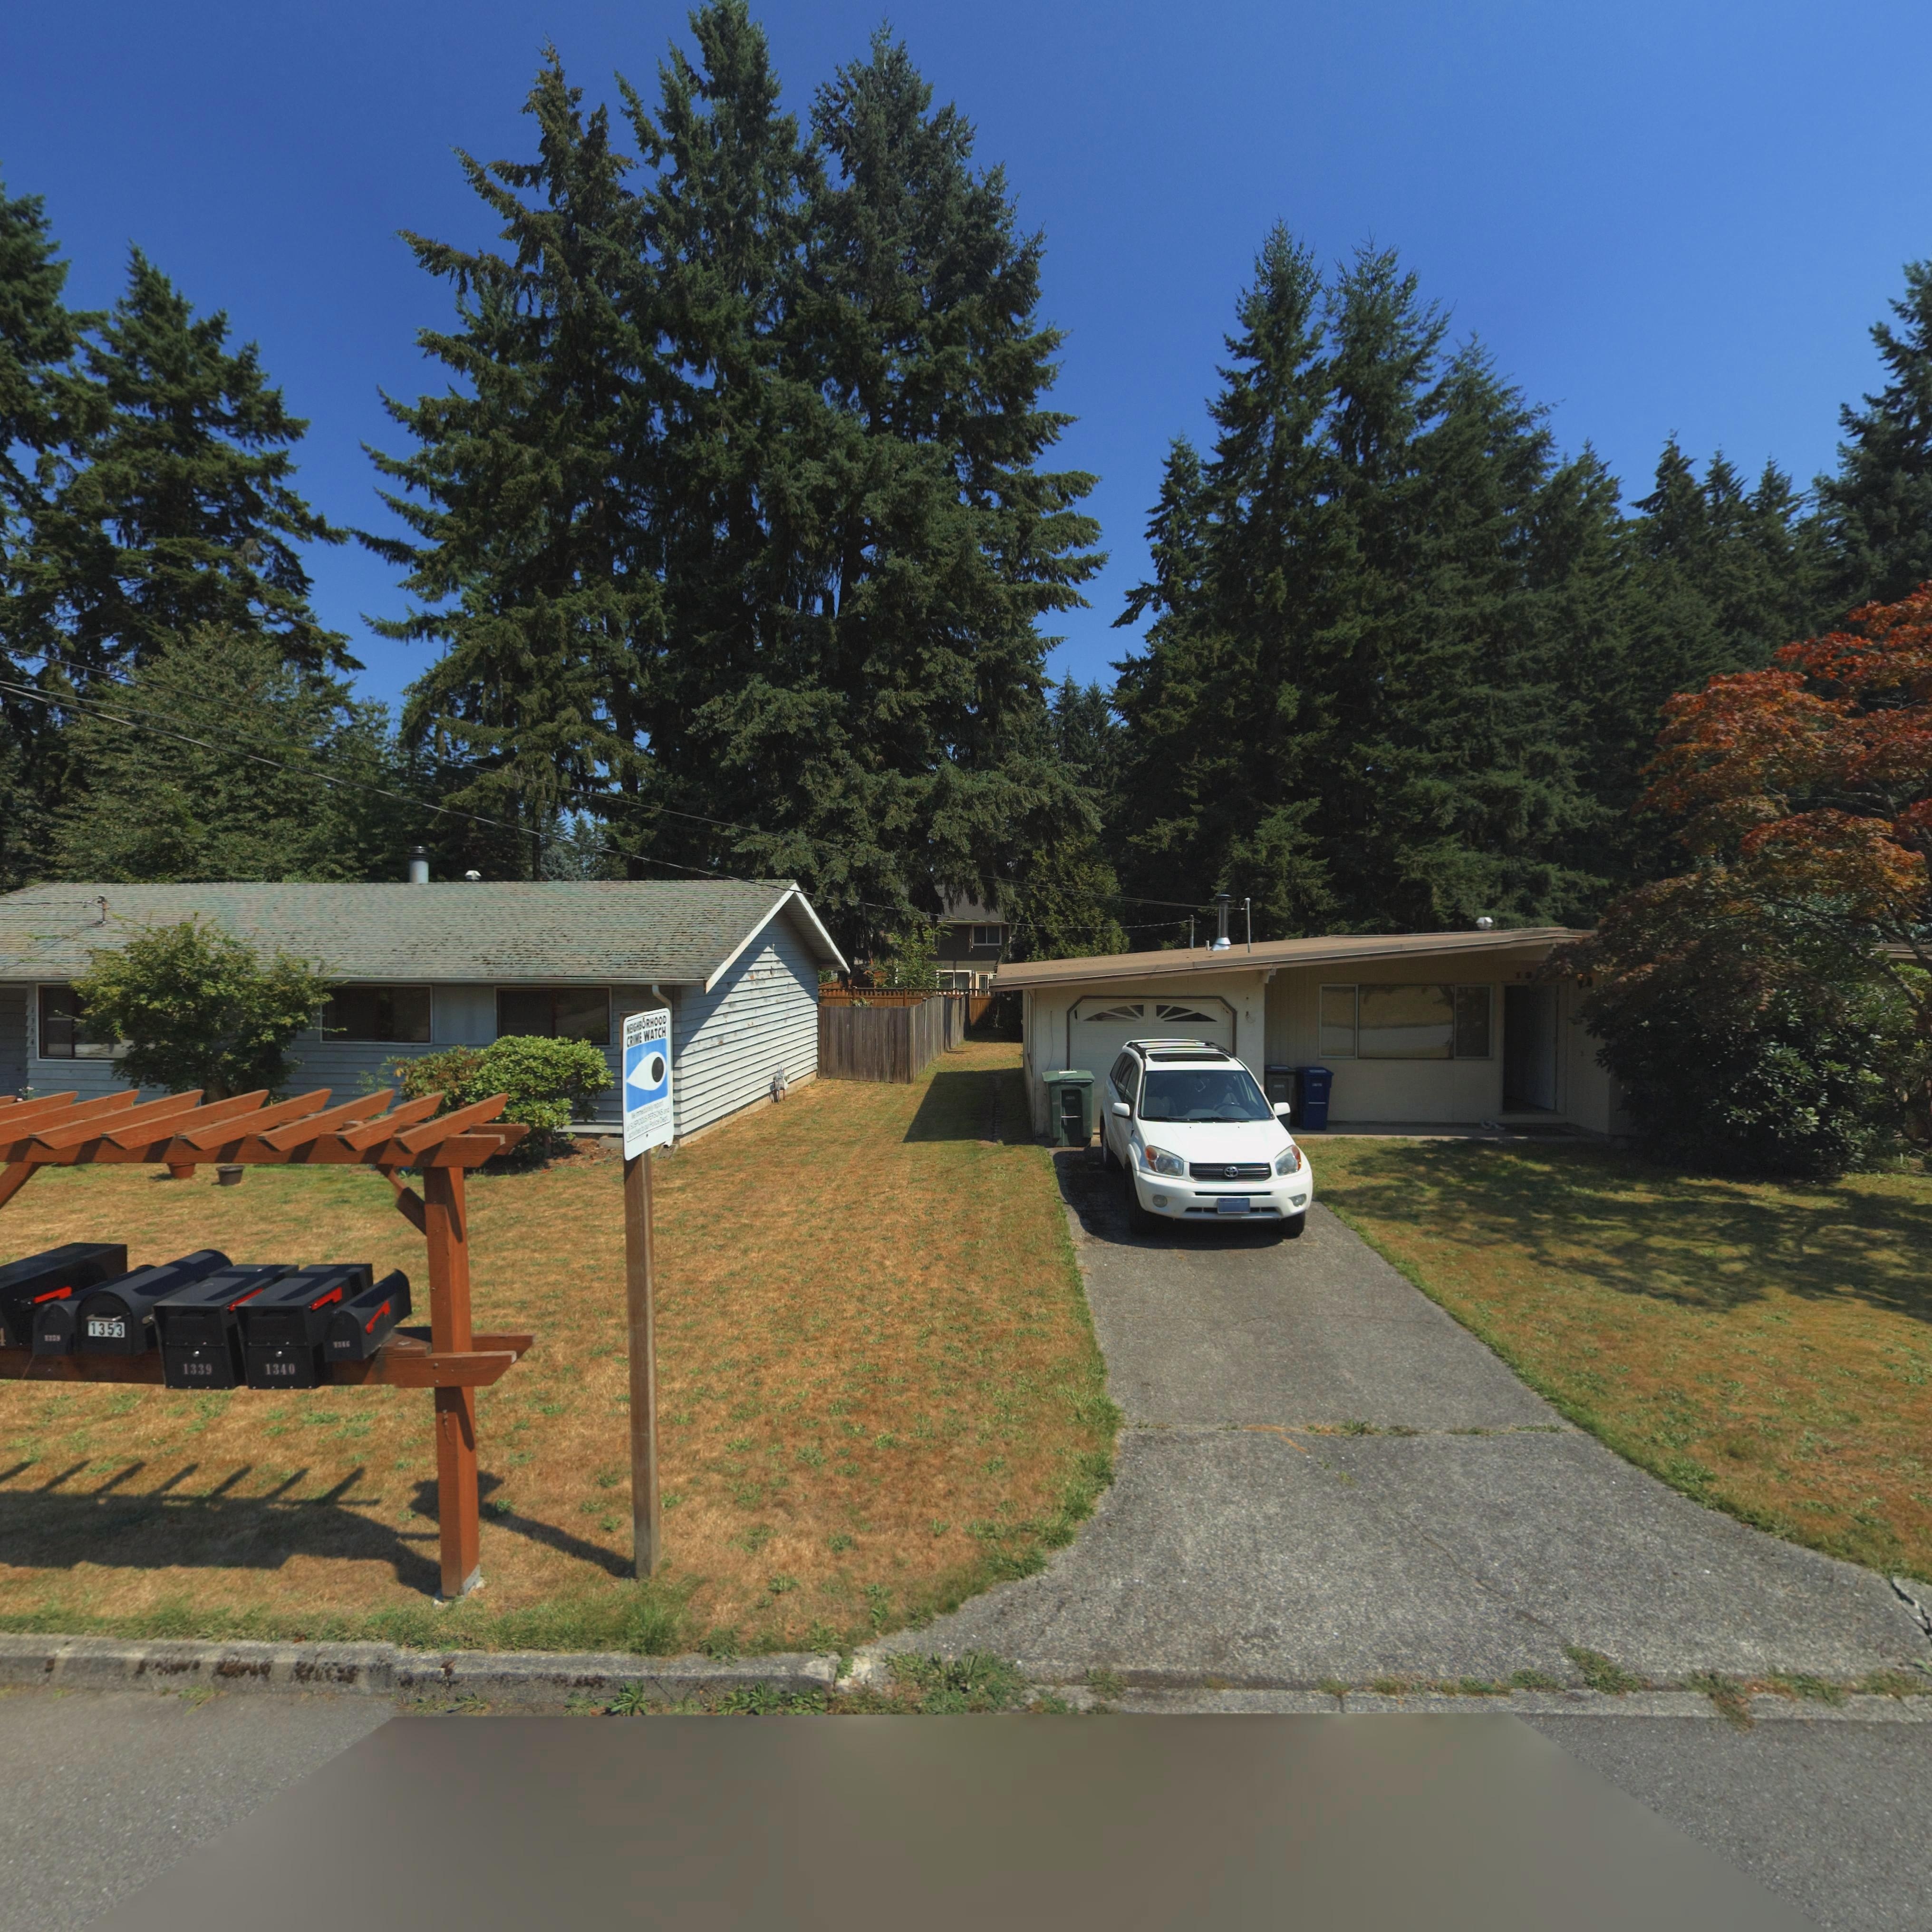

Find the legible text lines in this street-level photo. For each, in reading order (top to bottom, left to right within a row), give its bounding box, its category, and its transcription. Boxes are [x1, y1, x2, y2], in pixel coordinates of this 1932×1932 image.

[183, 1362, 213, 1376] StreetNumber: 1339
[265, 1362, 295, 1375] StreetNumber: 1340